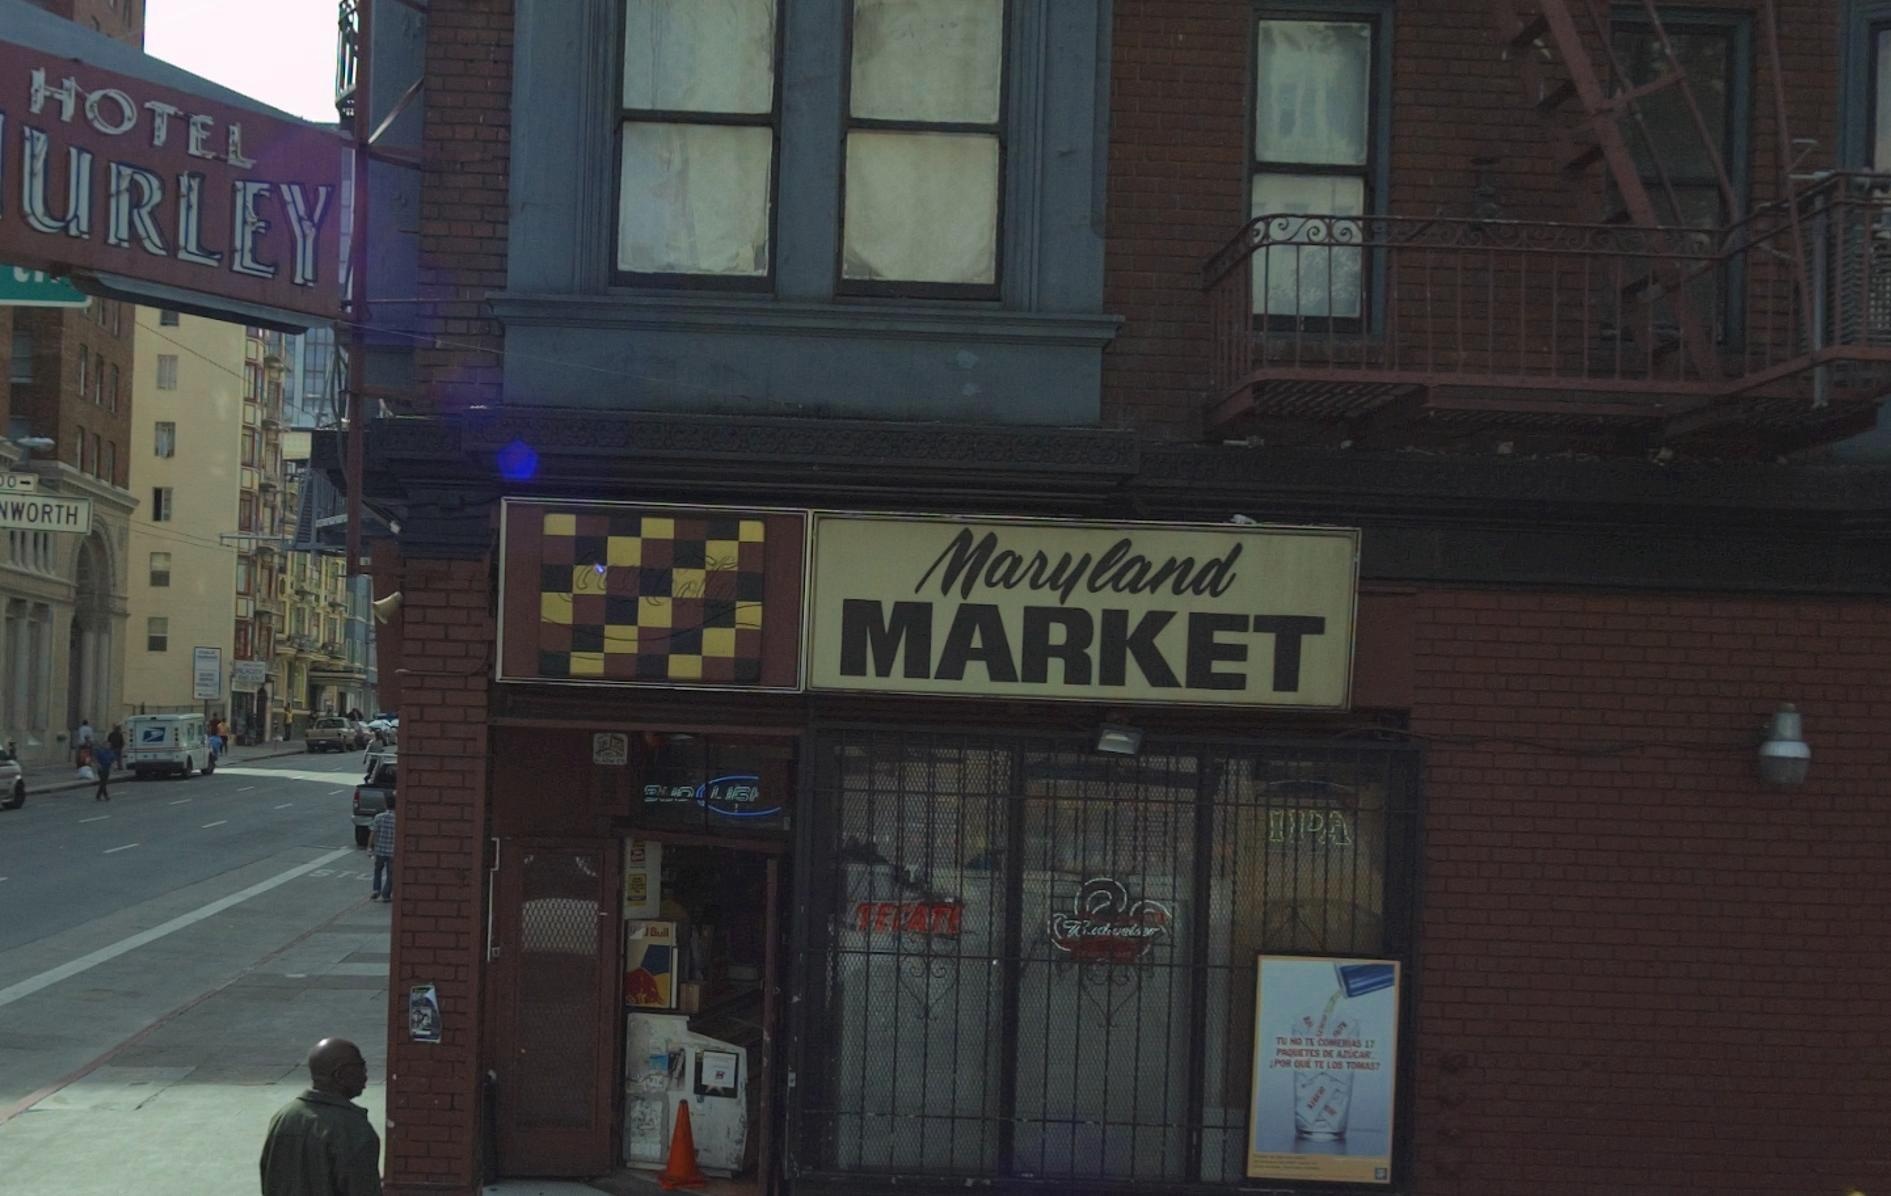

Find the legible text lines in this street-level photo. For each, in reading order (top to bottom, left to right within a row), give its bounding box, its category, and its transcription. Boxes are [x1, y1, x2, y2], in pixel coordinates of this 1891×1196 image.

[25, 61, 260, 173] BusinessName: HOTEL
[18, 120, 337, 291] BusinessName: URLEY
[4, 472, 36, 490] StreetNumberRange: 0->
[7, 498, 81, 528] StreetName: WORTH
[907, 524, 1250, 608] BusinessName: Maryland
[837, 595, 1328, 696] BusinessName: MARKET
[1266, 806, 1286, 844] None: I
[648, 924, 671, 940] None: Bull
[871, 898, 953, 937] None: E*AT
[1094, 918, 1113, 939] None: d
[1362, 1036, 1377, 1051] None: 17